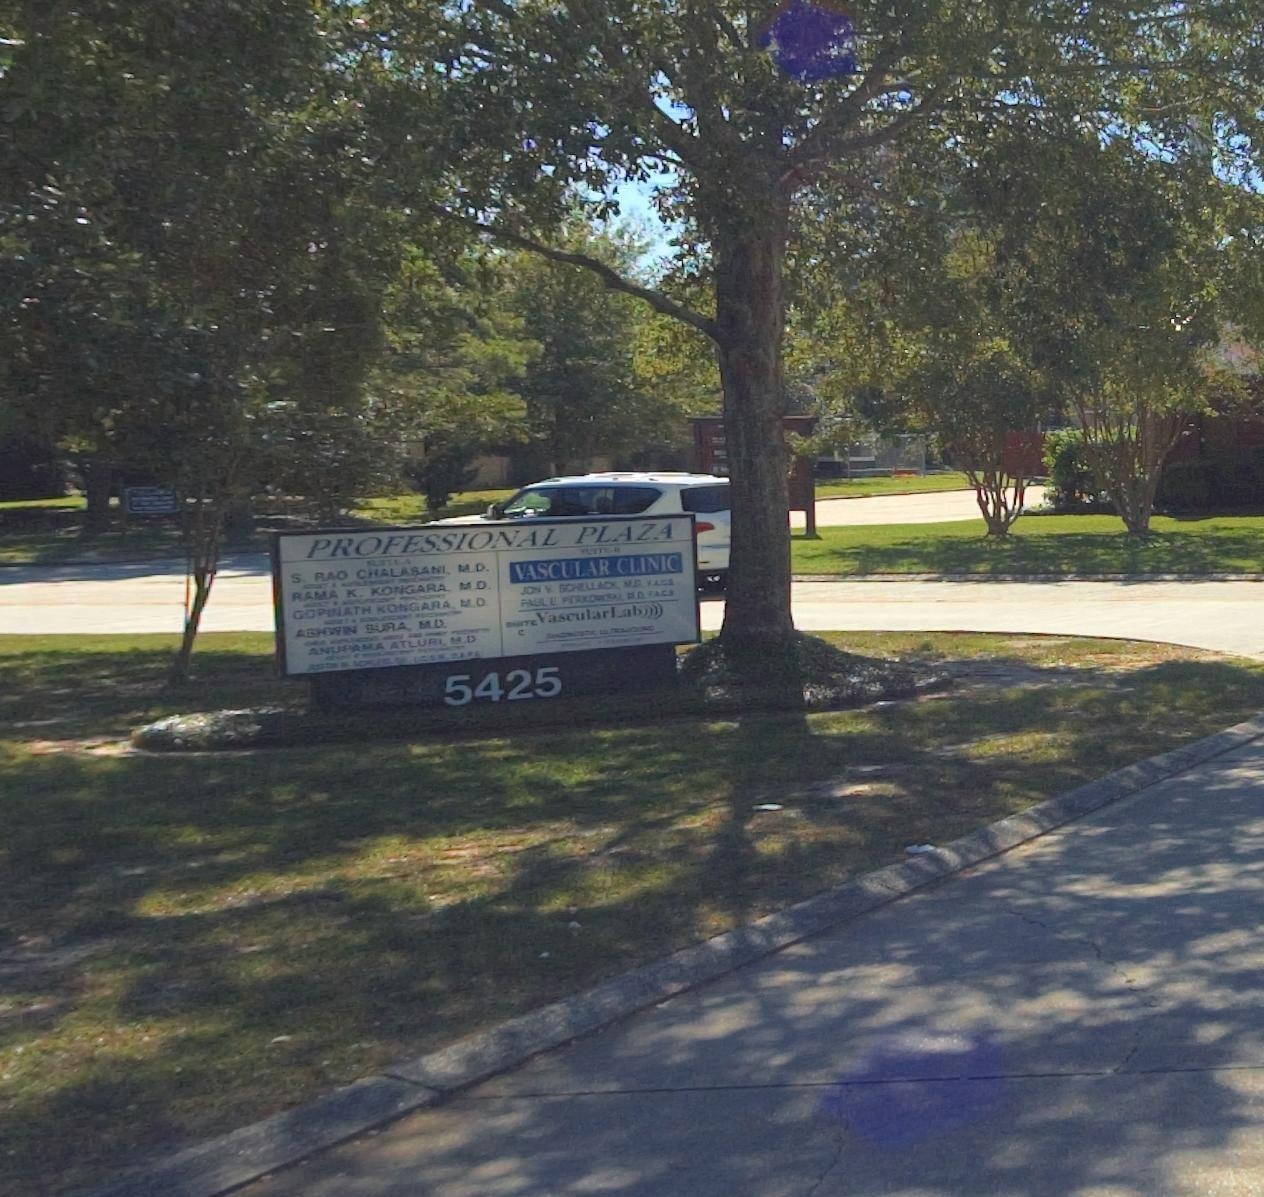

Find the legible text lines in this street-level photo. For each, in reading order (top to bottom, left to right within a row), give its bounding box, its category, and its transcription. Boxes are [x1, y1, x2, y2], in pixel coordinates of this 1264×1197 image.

[361, 555, 414, 572] None: SUITE A
[286, 560, 494, 587] None: S. RAO CHALABANI, M.D.
[303, 520, 674, 559] BusinessName: PROFESSIONAL PLAZA
[511, 552, 680, 582] BusinessName: VASCULAR CLINIC
[577, 543, 624, 557] SecondaryUnitDesignator: SUITE B
[287, 577, 495, 605] None: RAMA K. KONGARA, M.D.
[516, 576, 648, 599] None: JON V. SCHILLACK, M.D.
[294, 616, 448, 641] None: A*HWIN BURA, M.D.
[287, 594, 489, 621] None: GOPINATH KONGARA, M.D.
[531, 603, 644, 627] BusinessName: VascularLab
[306, 632, 479, 657] None: AN**AMA ATLURI, M.D.
[440, 662, 564, 709] StreetNumber: 5425